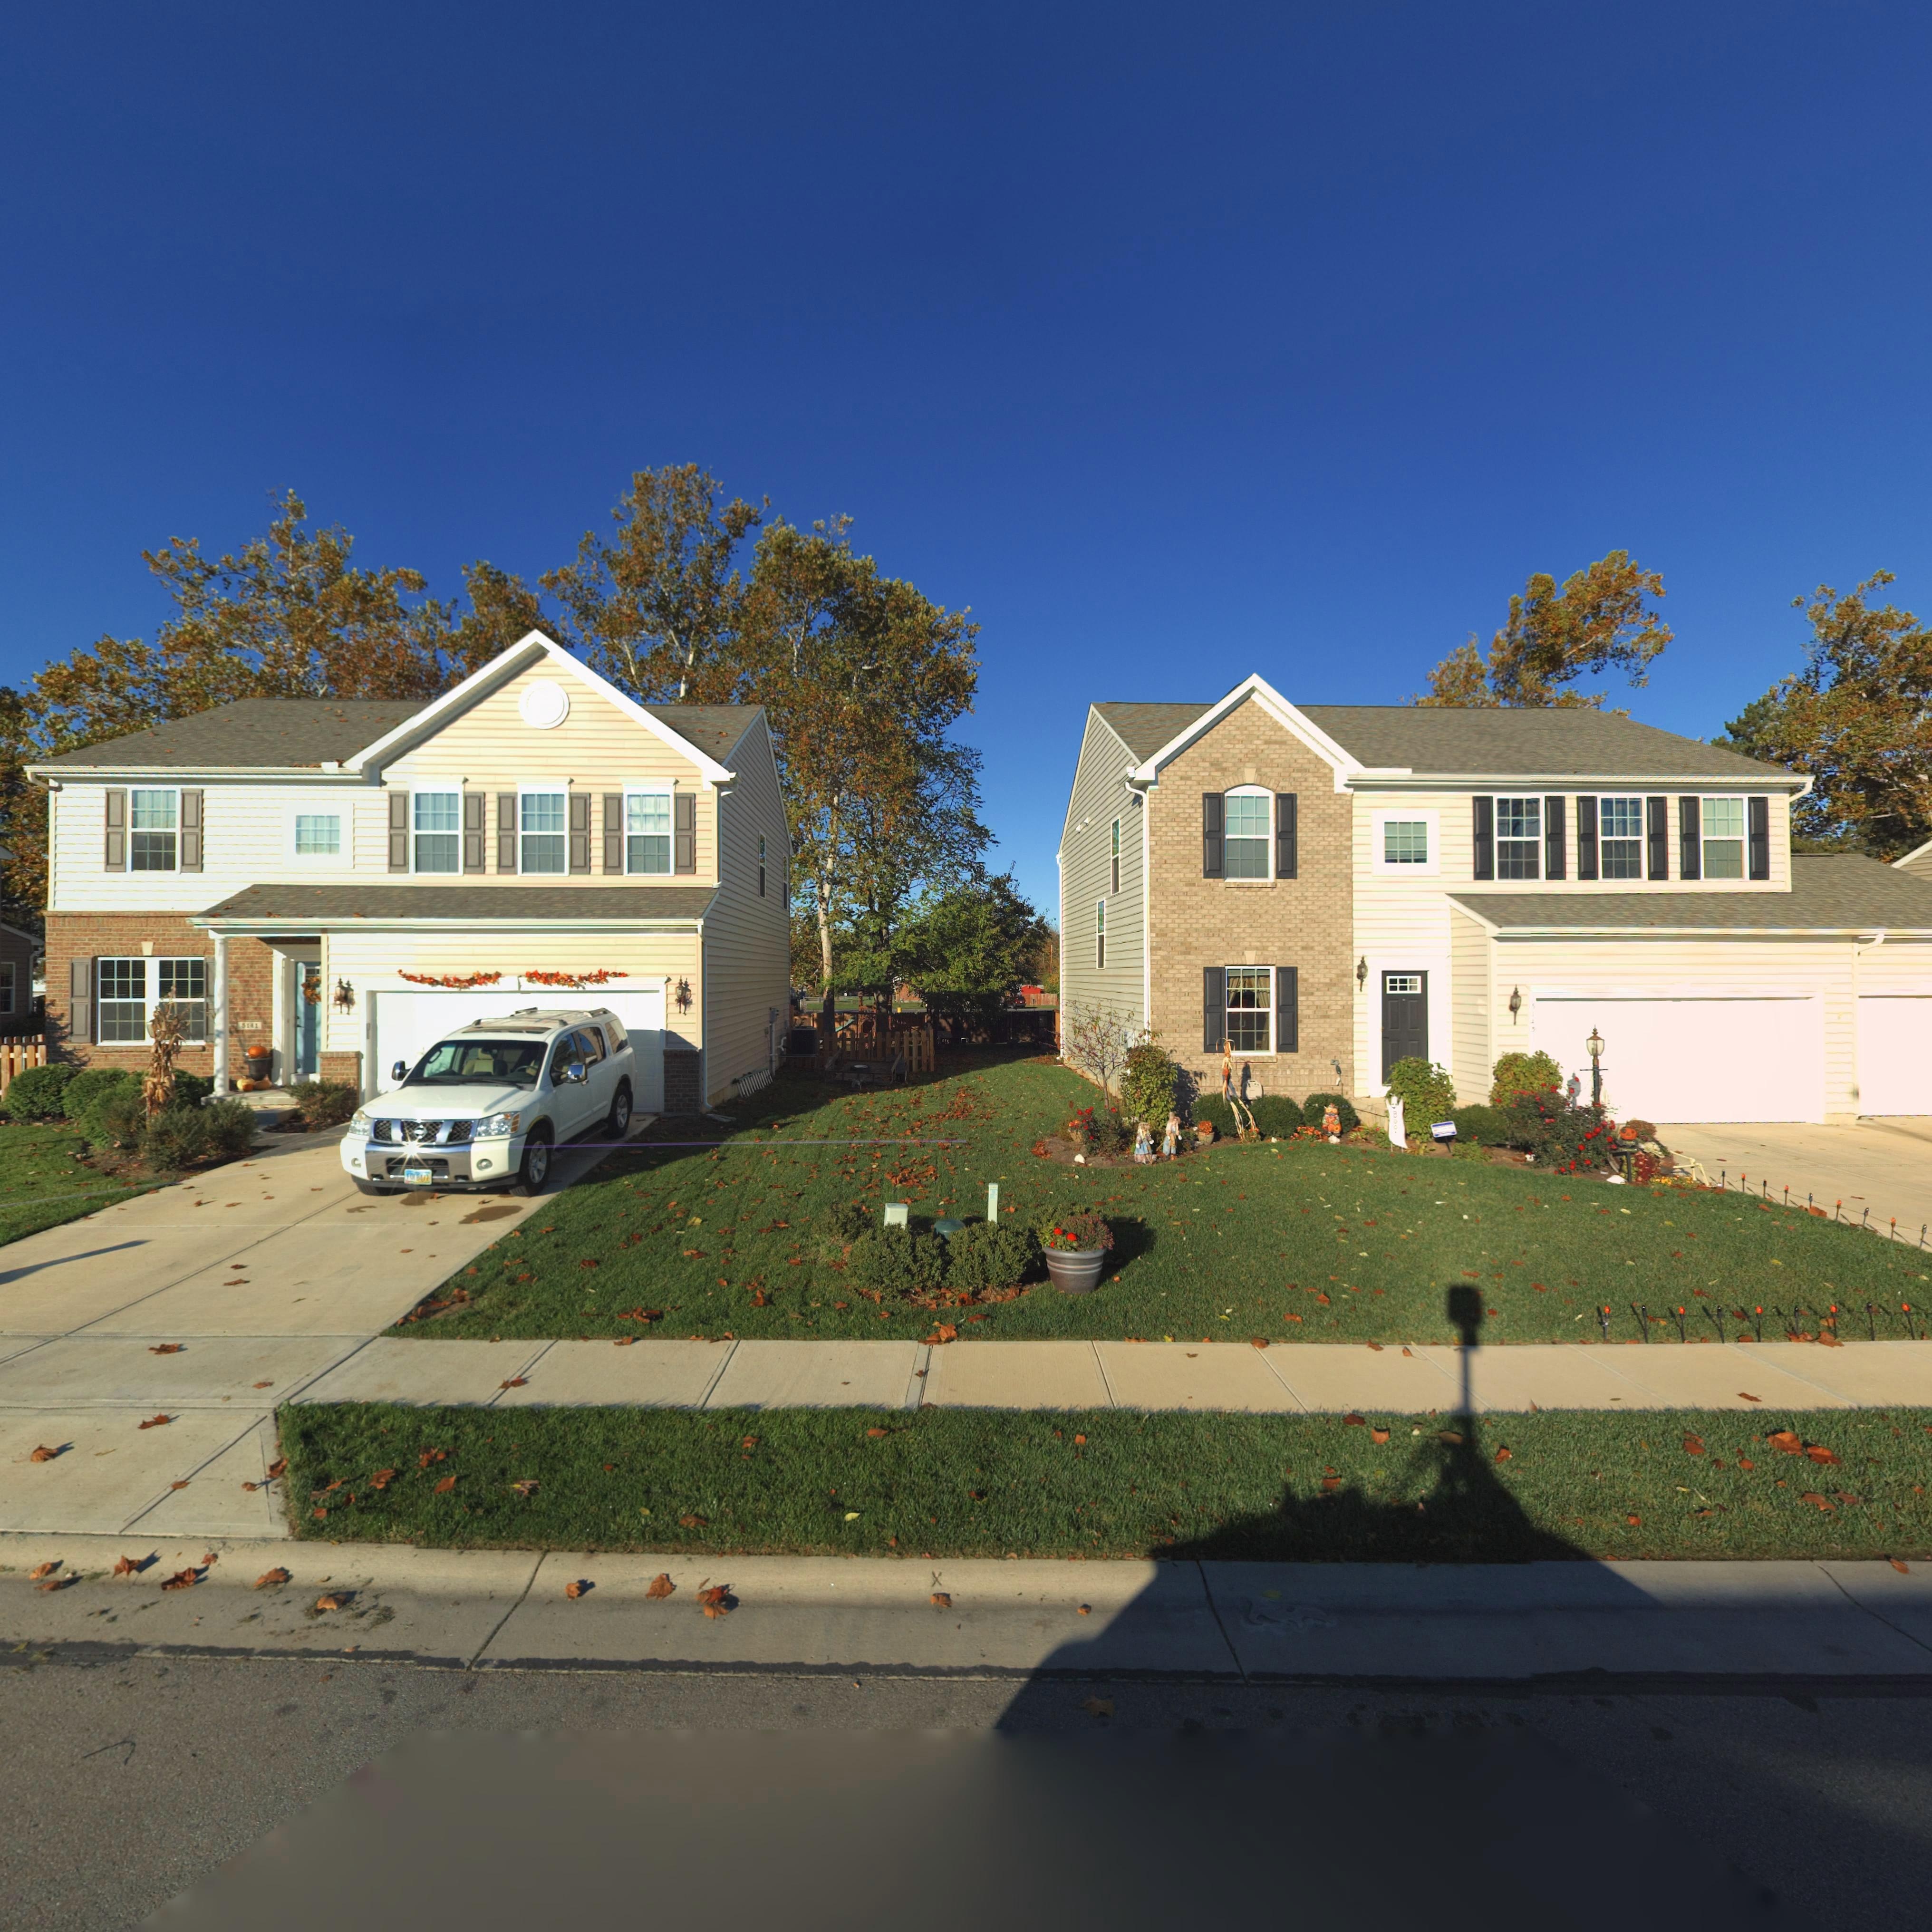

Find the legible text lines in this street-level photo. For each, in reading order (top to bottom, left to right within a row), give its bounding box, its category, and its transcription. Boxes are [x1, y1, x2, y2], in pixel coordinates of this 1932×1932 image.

[241, 1022, 259, 1029] StreetNumber: 5141
[1530, 1003, 1536, 1033] StreetNumber: 5*45